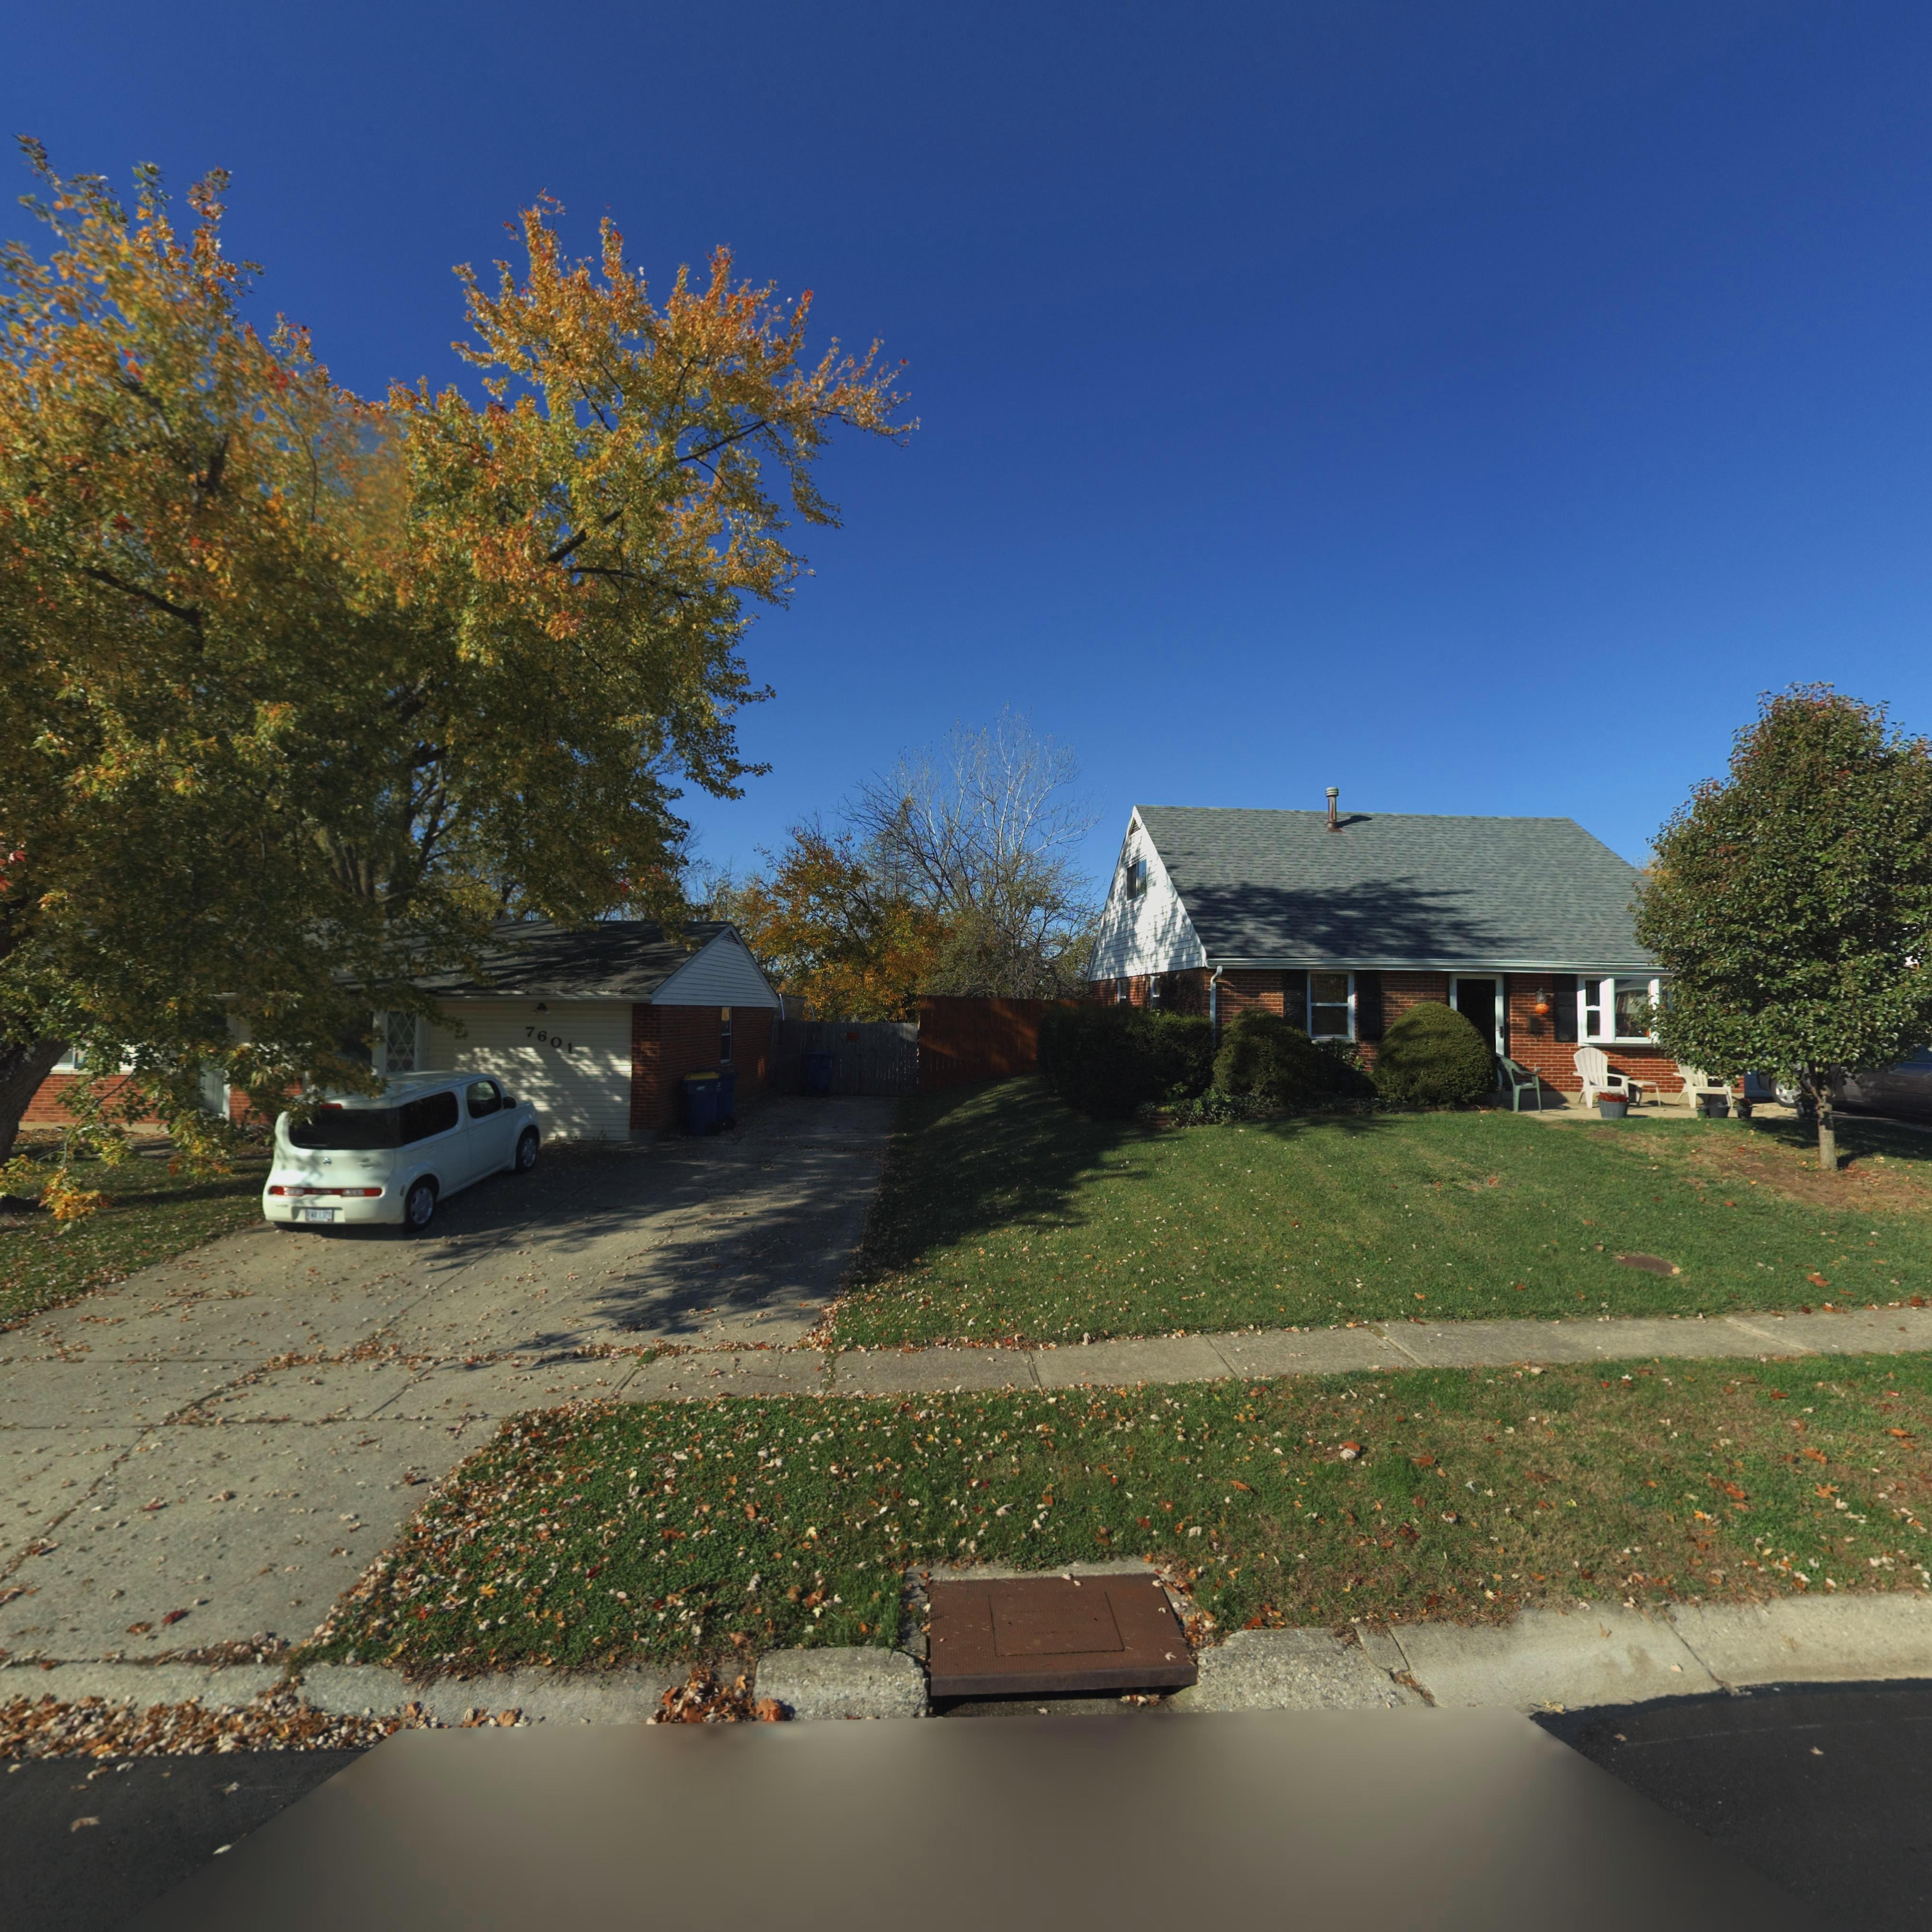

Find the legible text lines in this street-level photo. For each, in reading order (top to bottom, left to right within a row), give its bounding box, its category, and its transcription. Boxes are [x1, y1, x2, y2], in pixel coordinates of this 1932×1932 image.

[524, 1025, 574, 1056] StreetNumber: 7601
[1556, 1033, 1574, 1042] StreetNumber: *60*